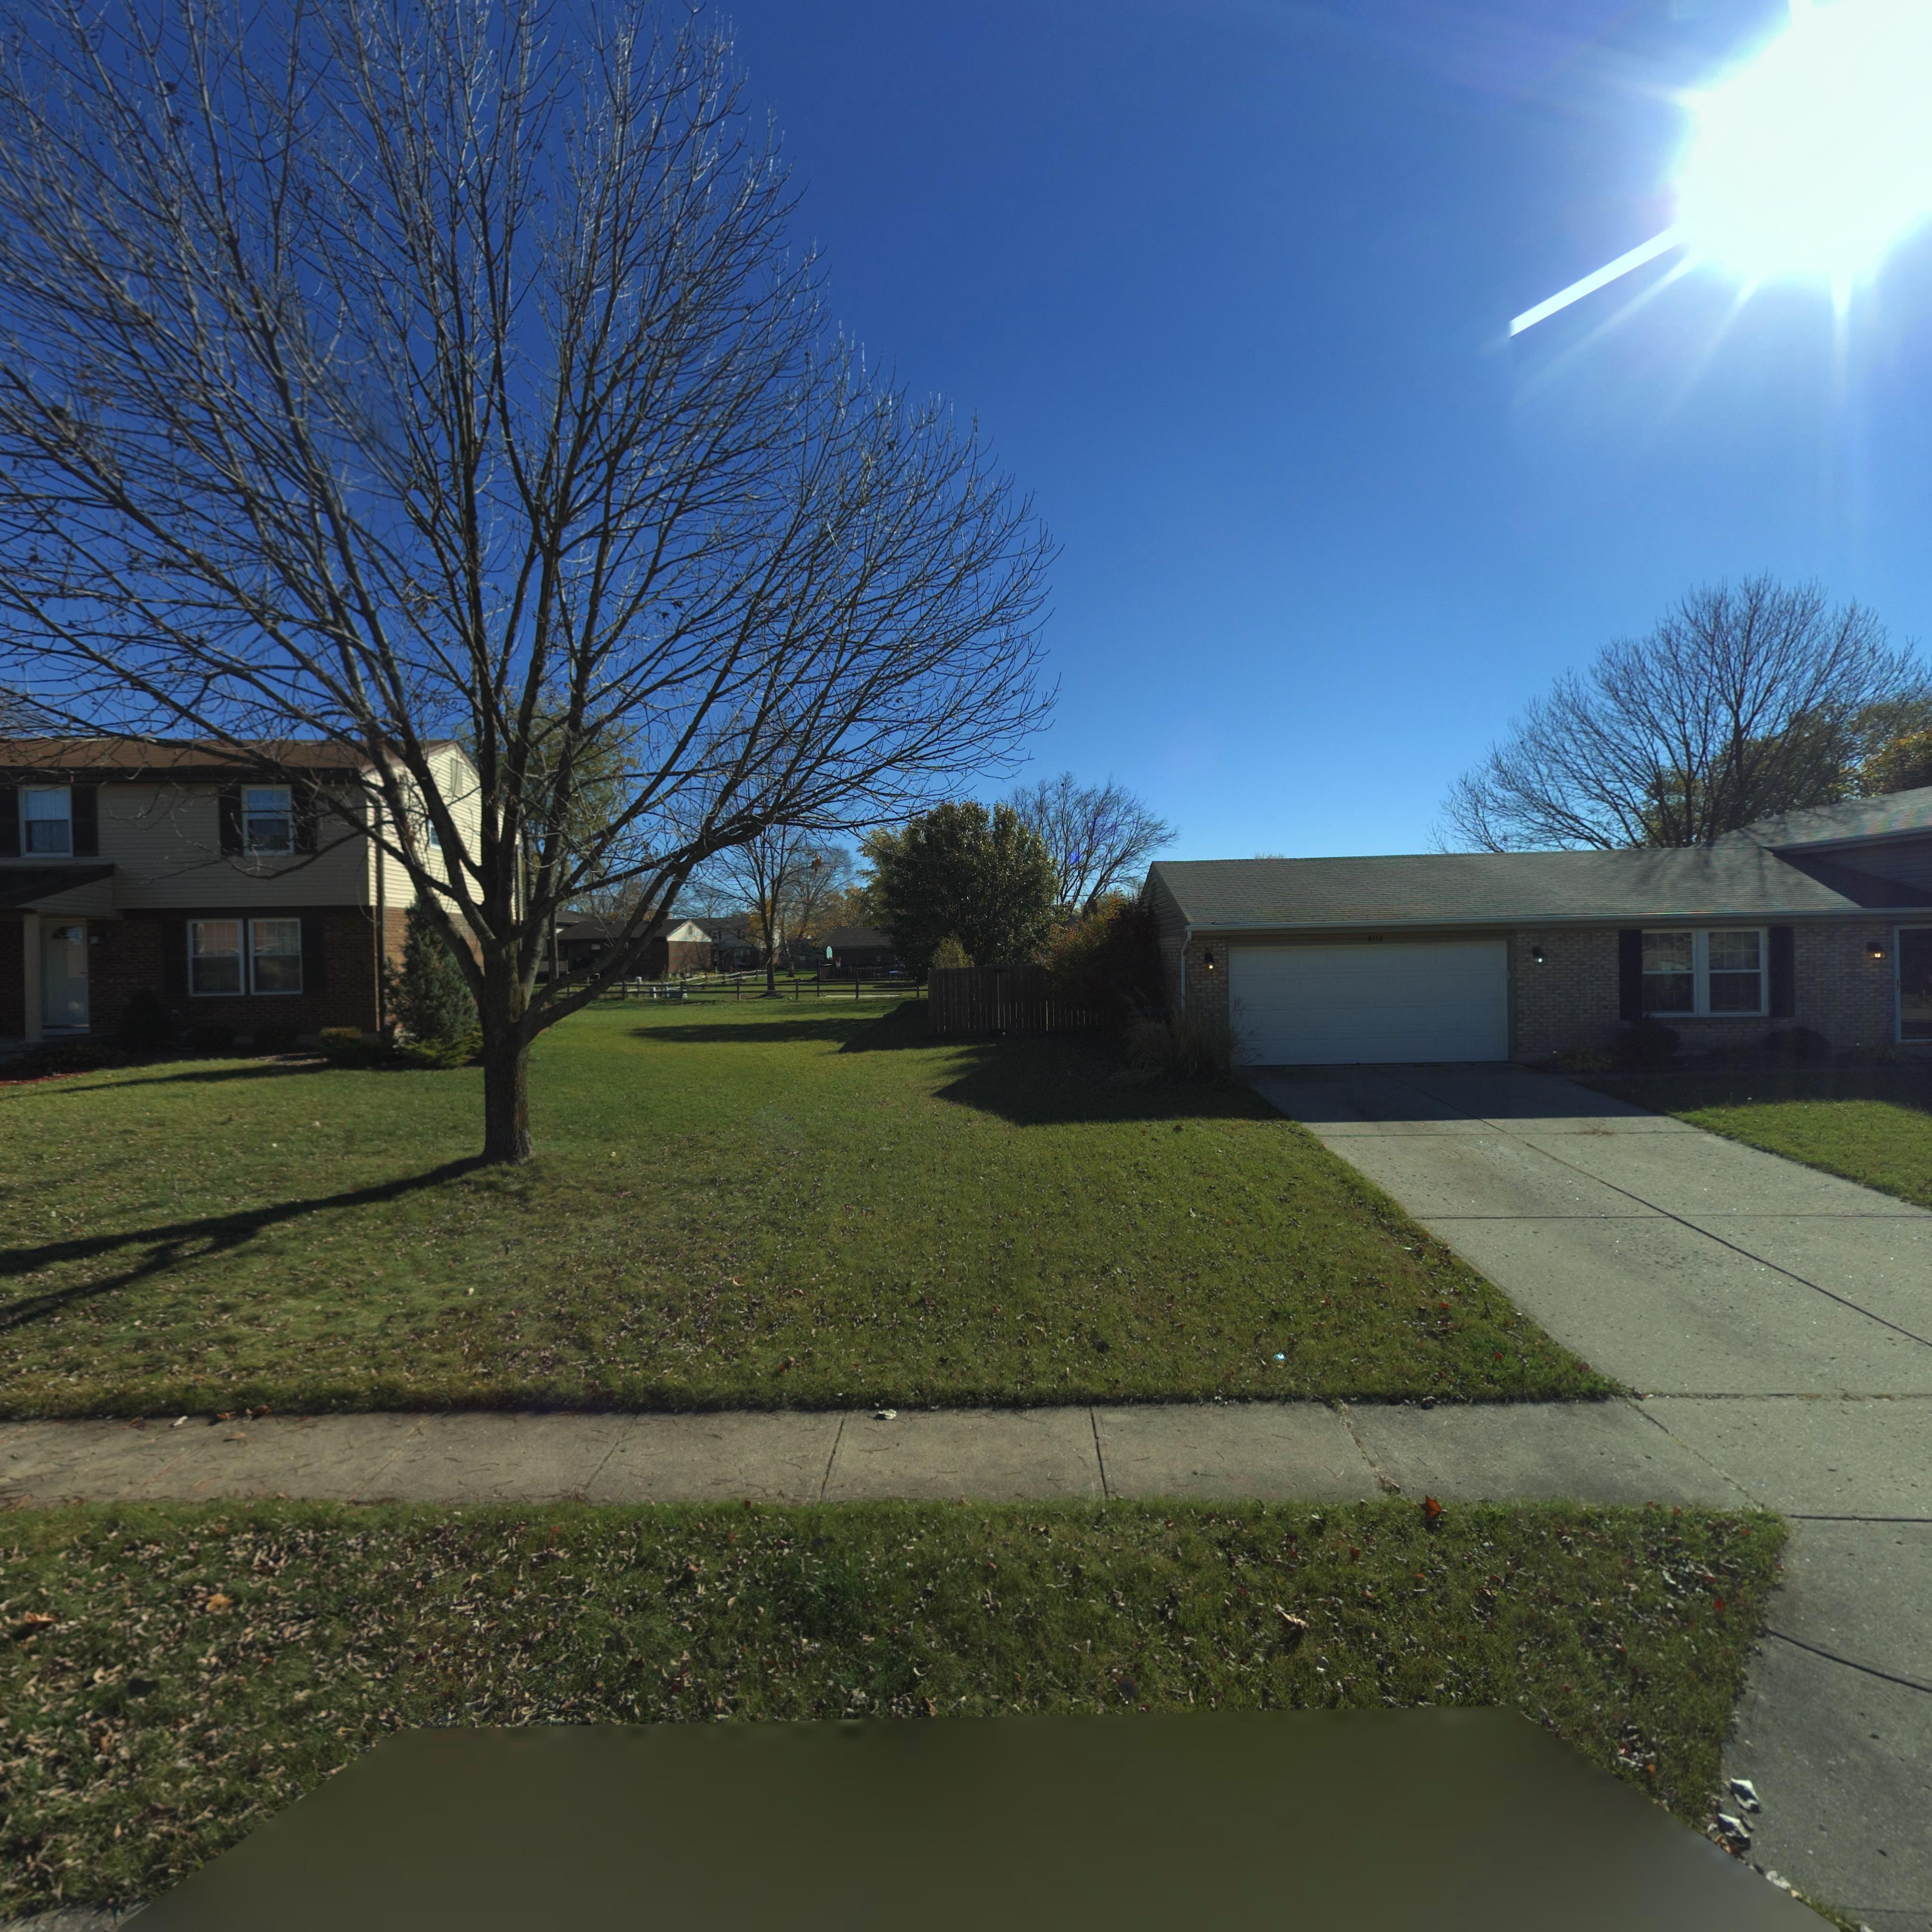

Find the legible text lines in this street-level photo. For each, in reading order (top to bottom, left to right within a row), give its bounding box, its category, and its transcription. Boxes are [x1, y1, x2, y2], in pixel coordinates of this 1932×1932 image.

[1367, 935, 1383, 943] StreetNumber: 4112